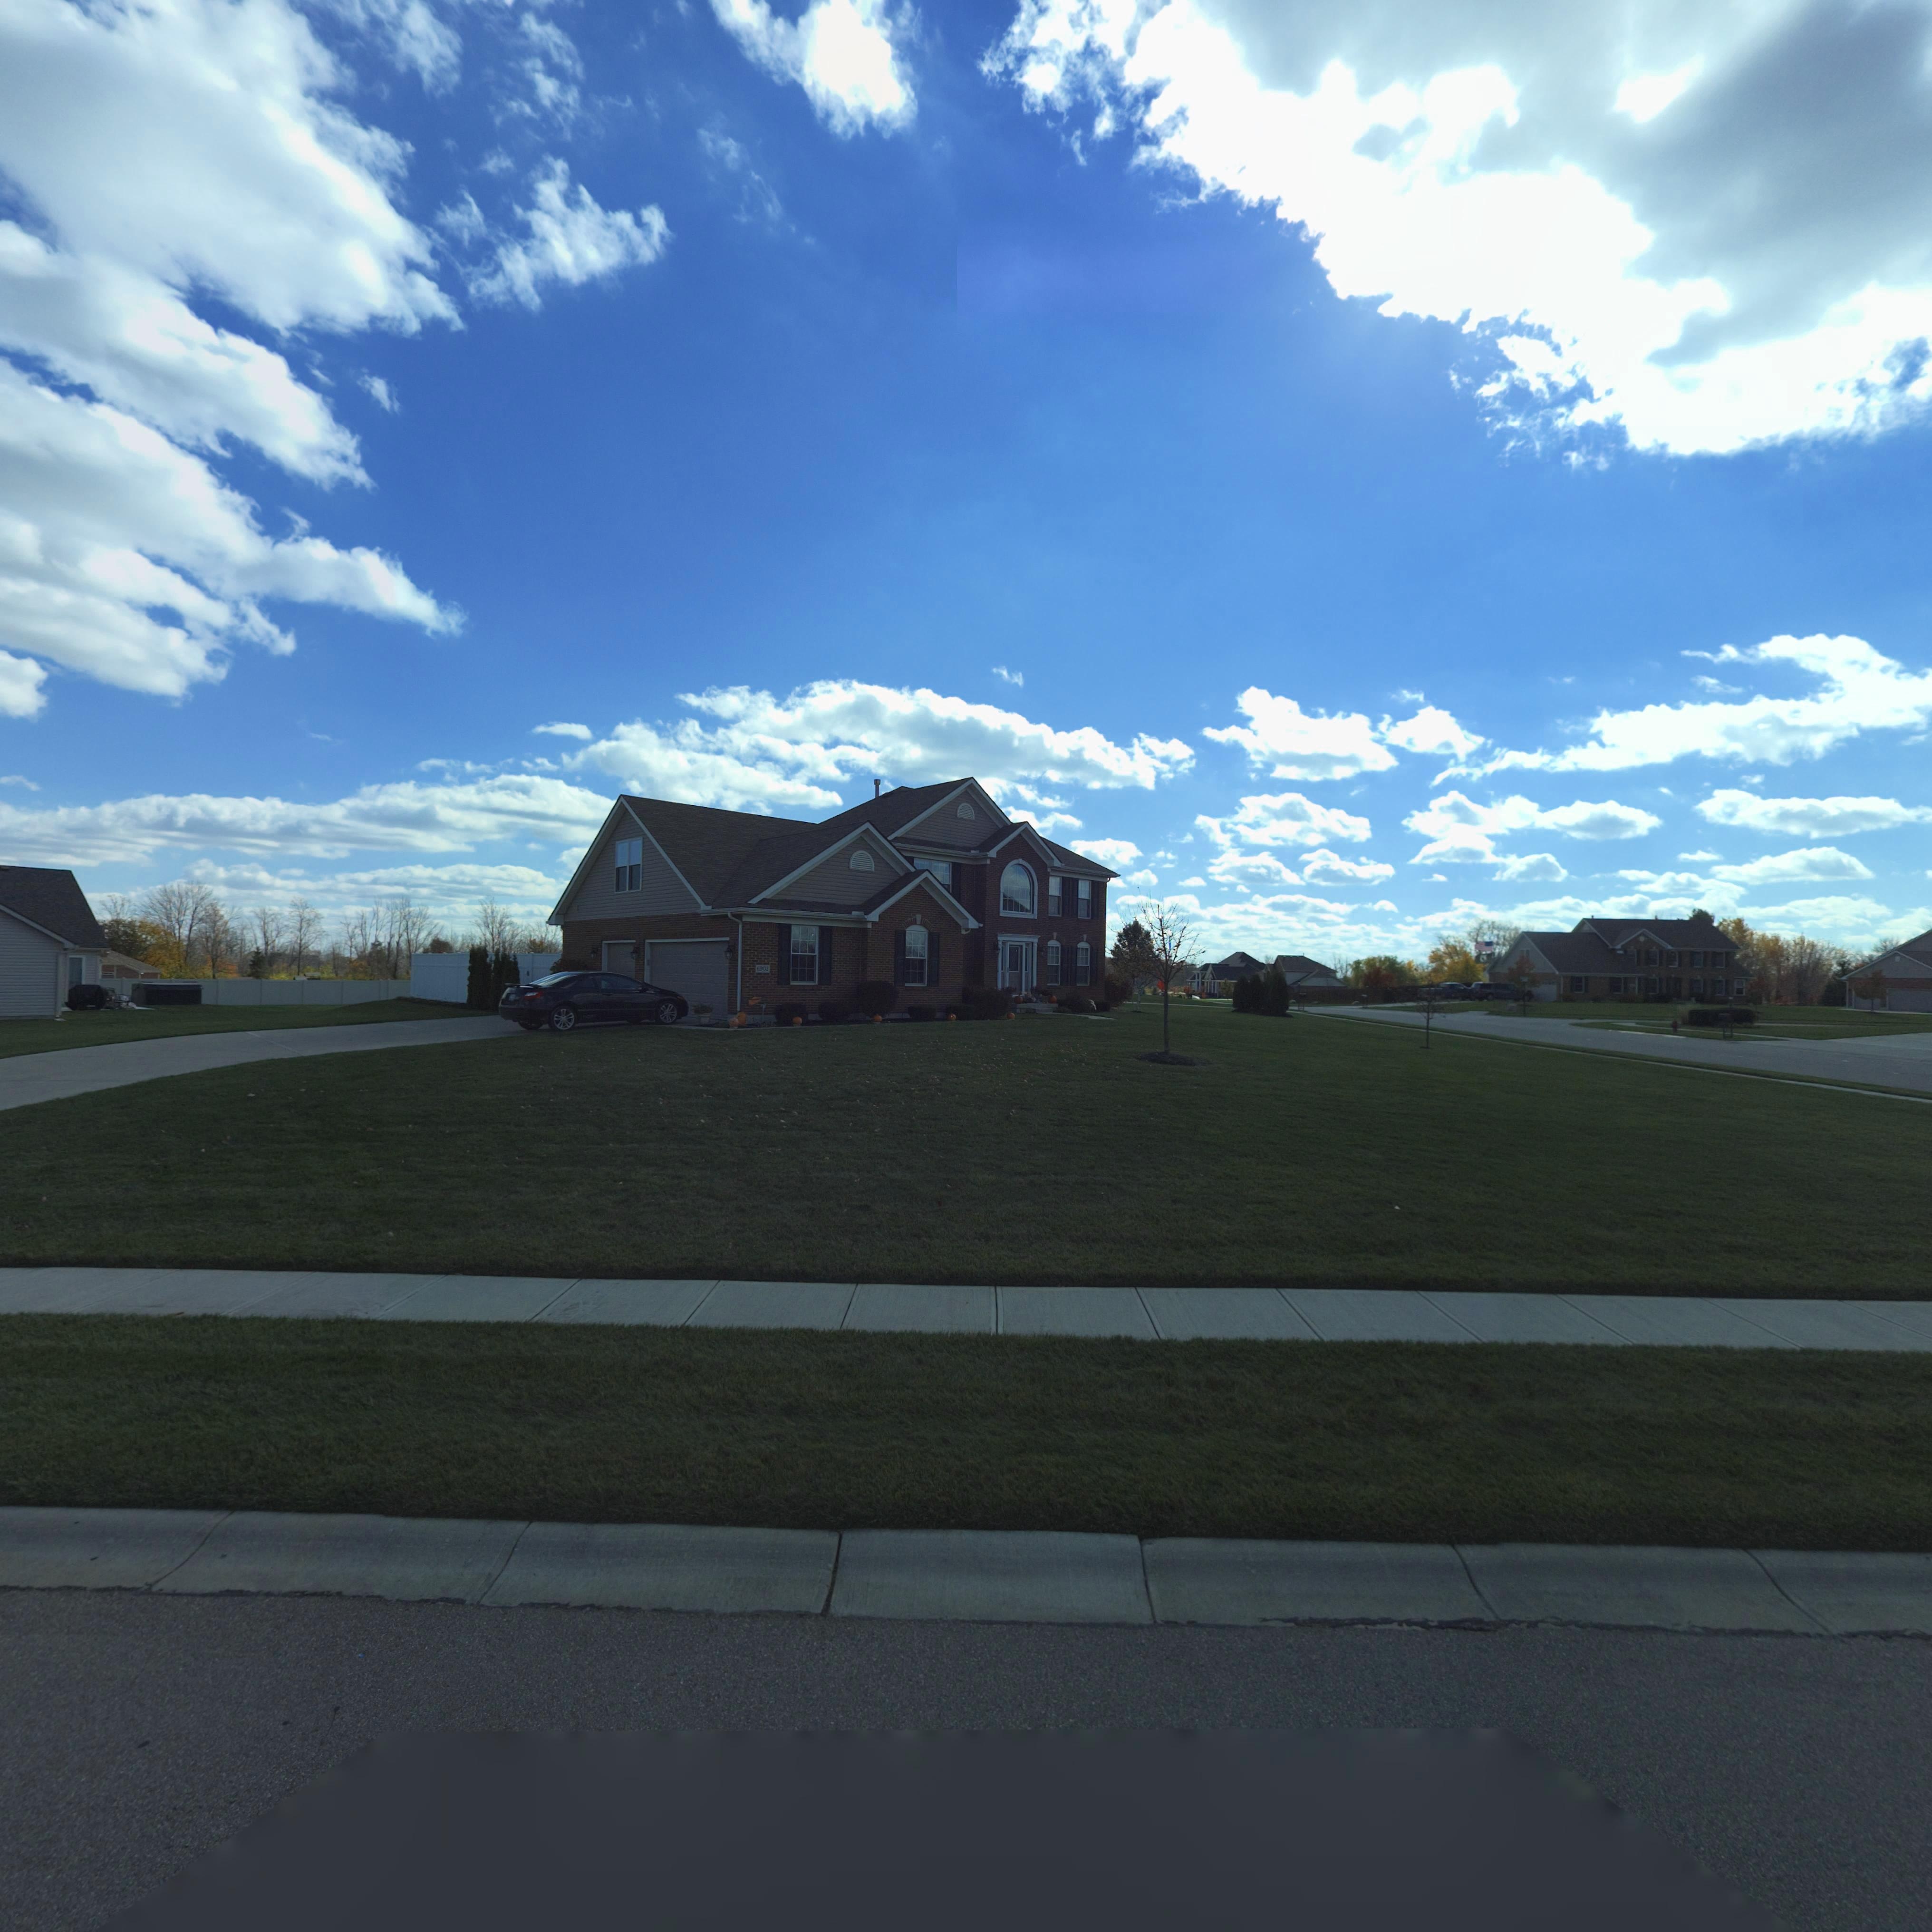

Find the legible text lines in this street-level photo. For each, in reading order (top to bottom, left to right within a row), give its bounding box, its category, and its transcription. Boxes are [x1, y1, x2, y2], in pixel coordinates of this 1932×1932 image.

[756, 966, 769, 972] StreetNumber: 6902